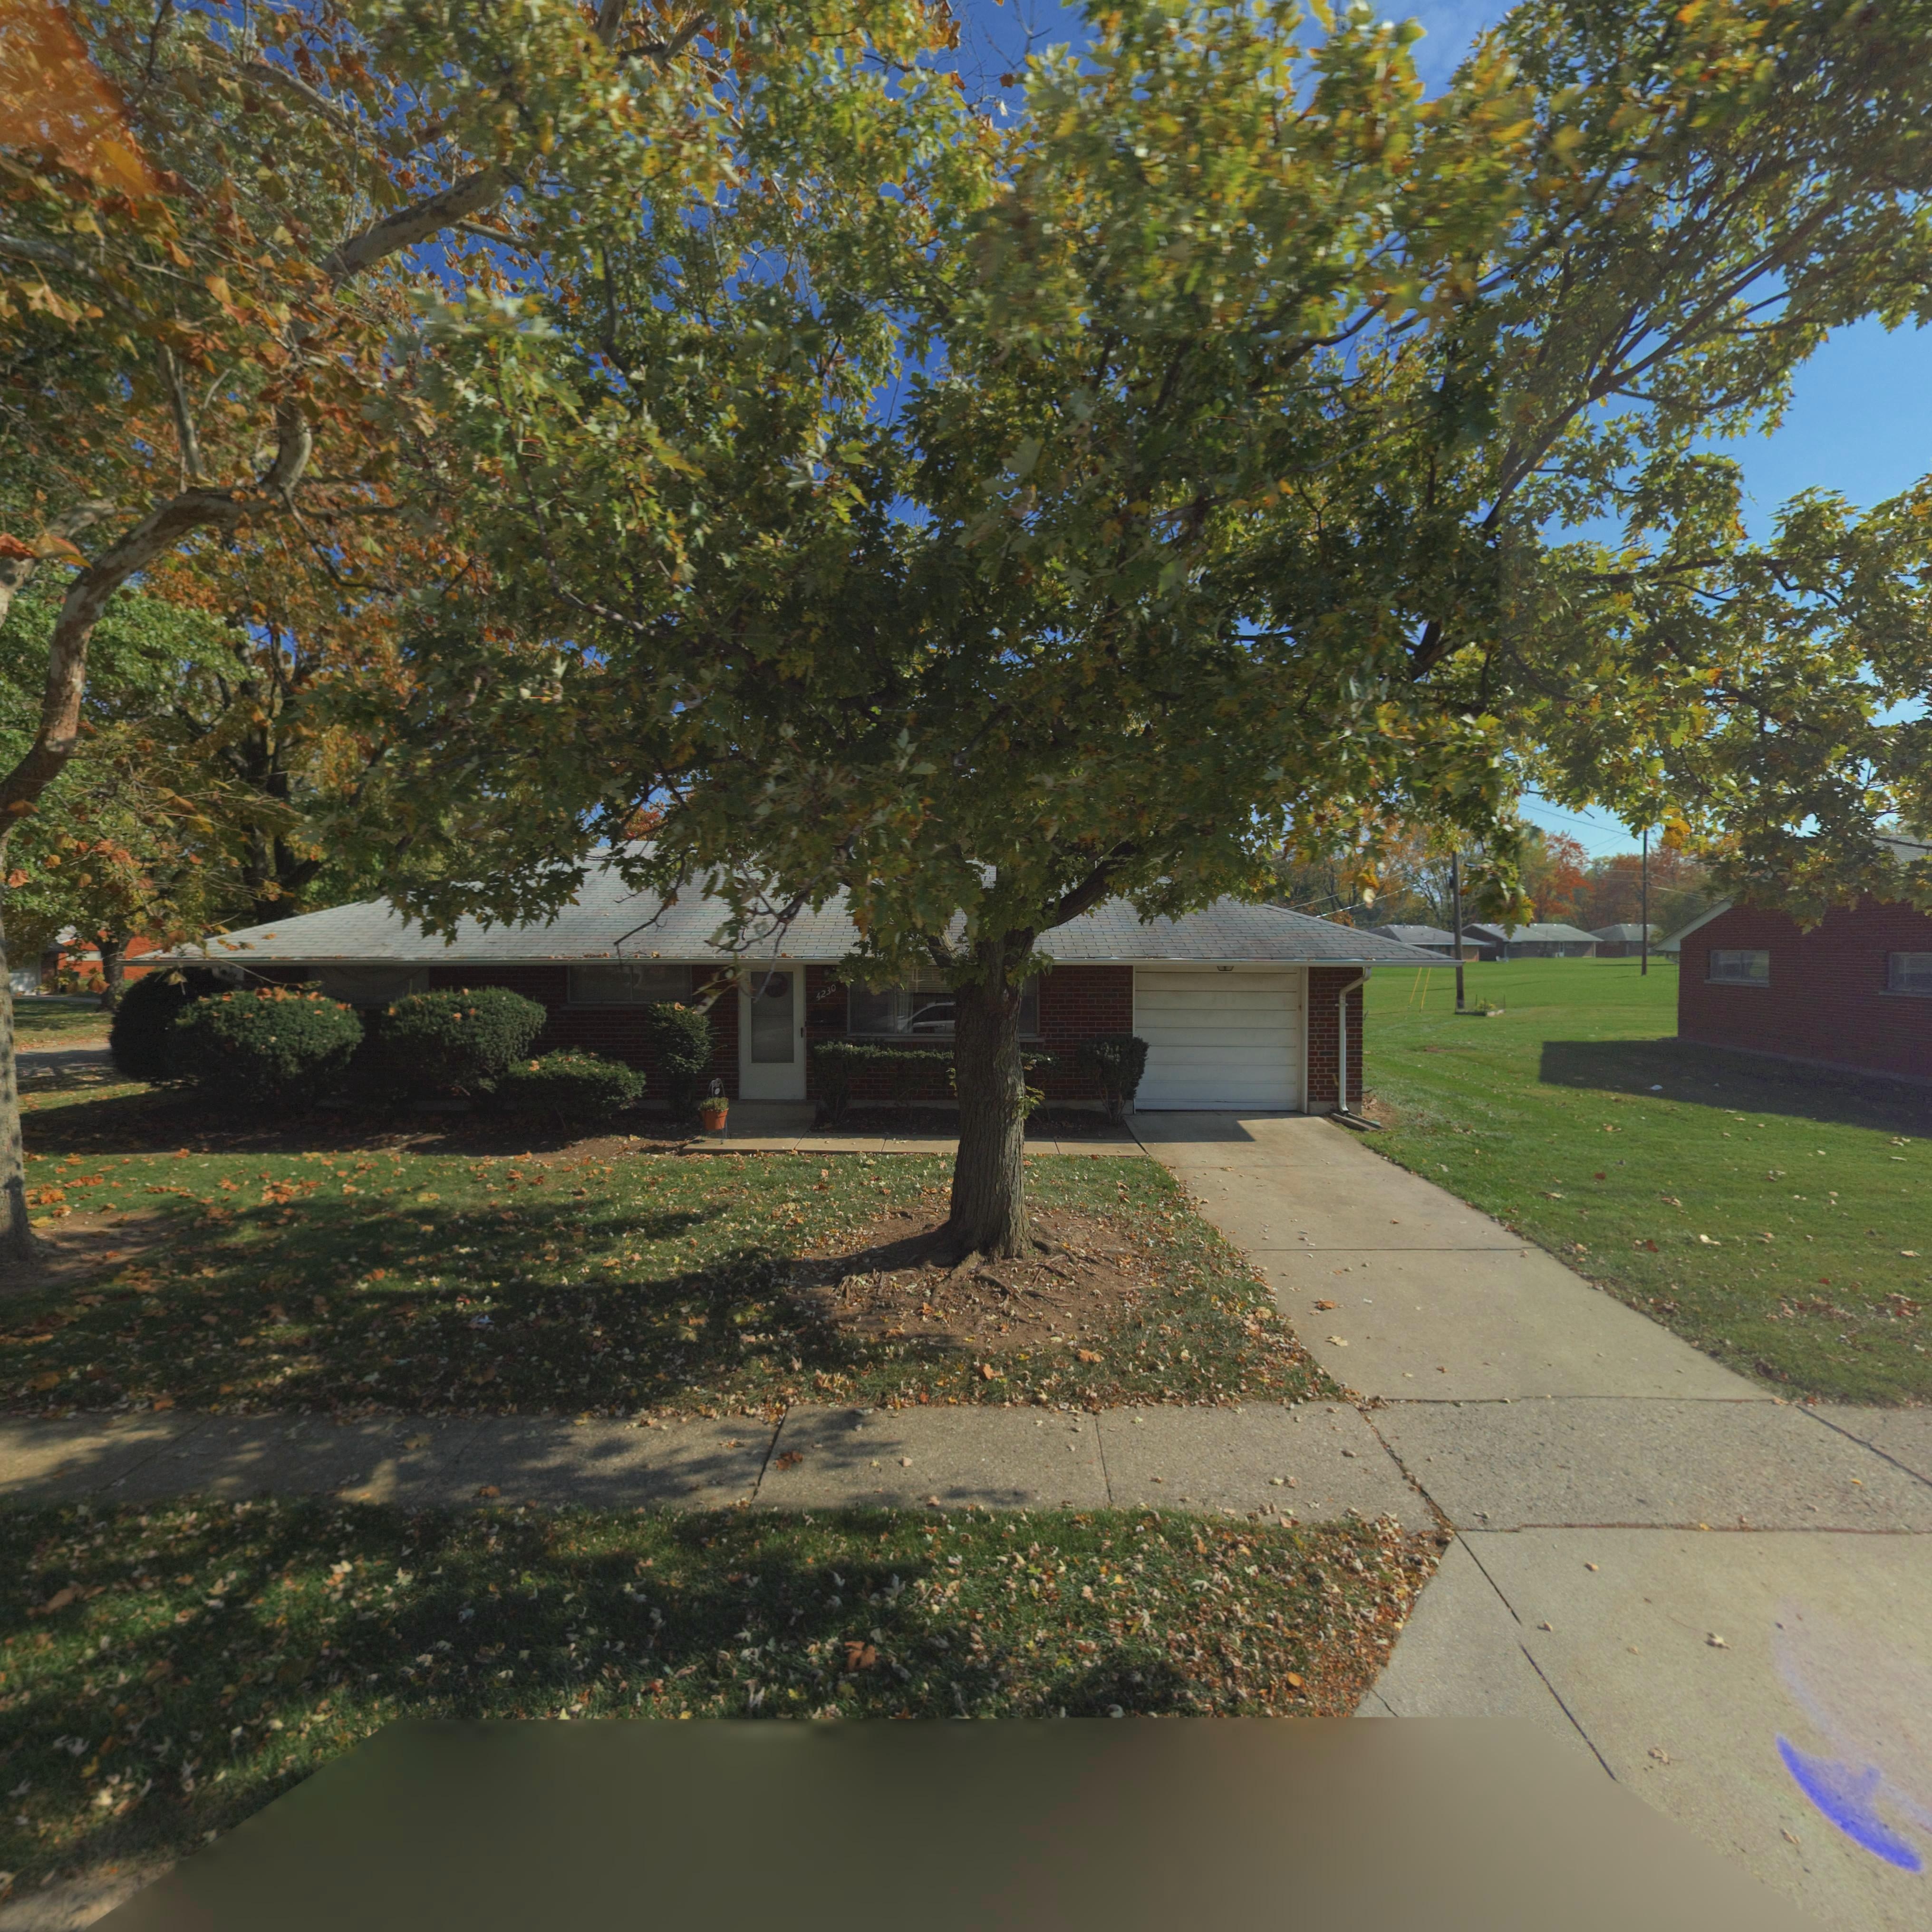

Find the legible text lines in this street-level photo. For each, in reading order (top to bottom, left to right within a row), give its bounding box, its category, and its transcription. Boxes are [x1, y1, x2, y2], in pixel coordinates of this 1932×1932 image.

[815, 983, 837, 1002] StreetNumber: 4230